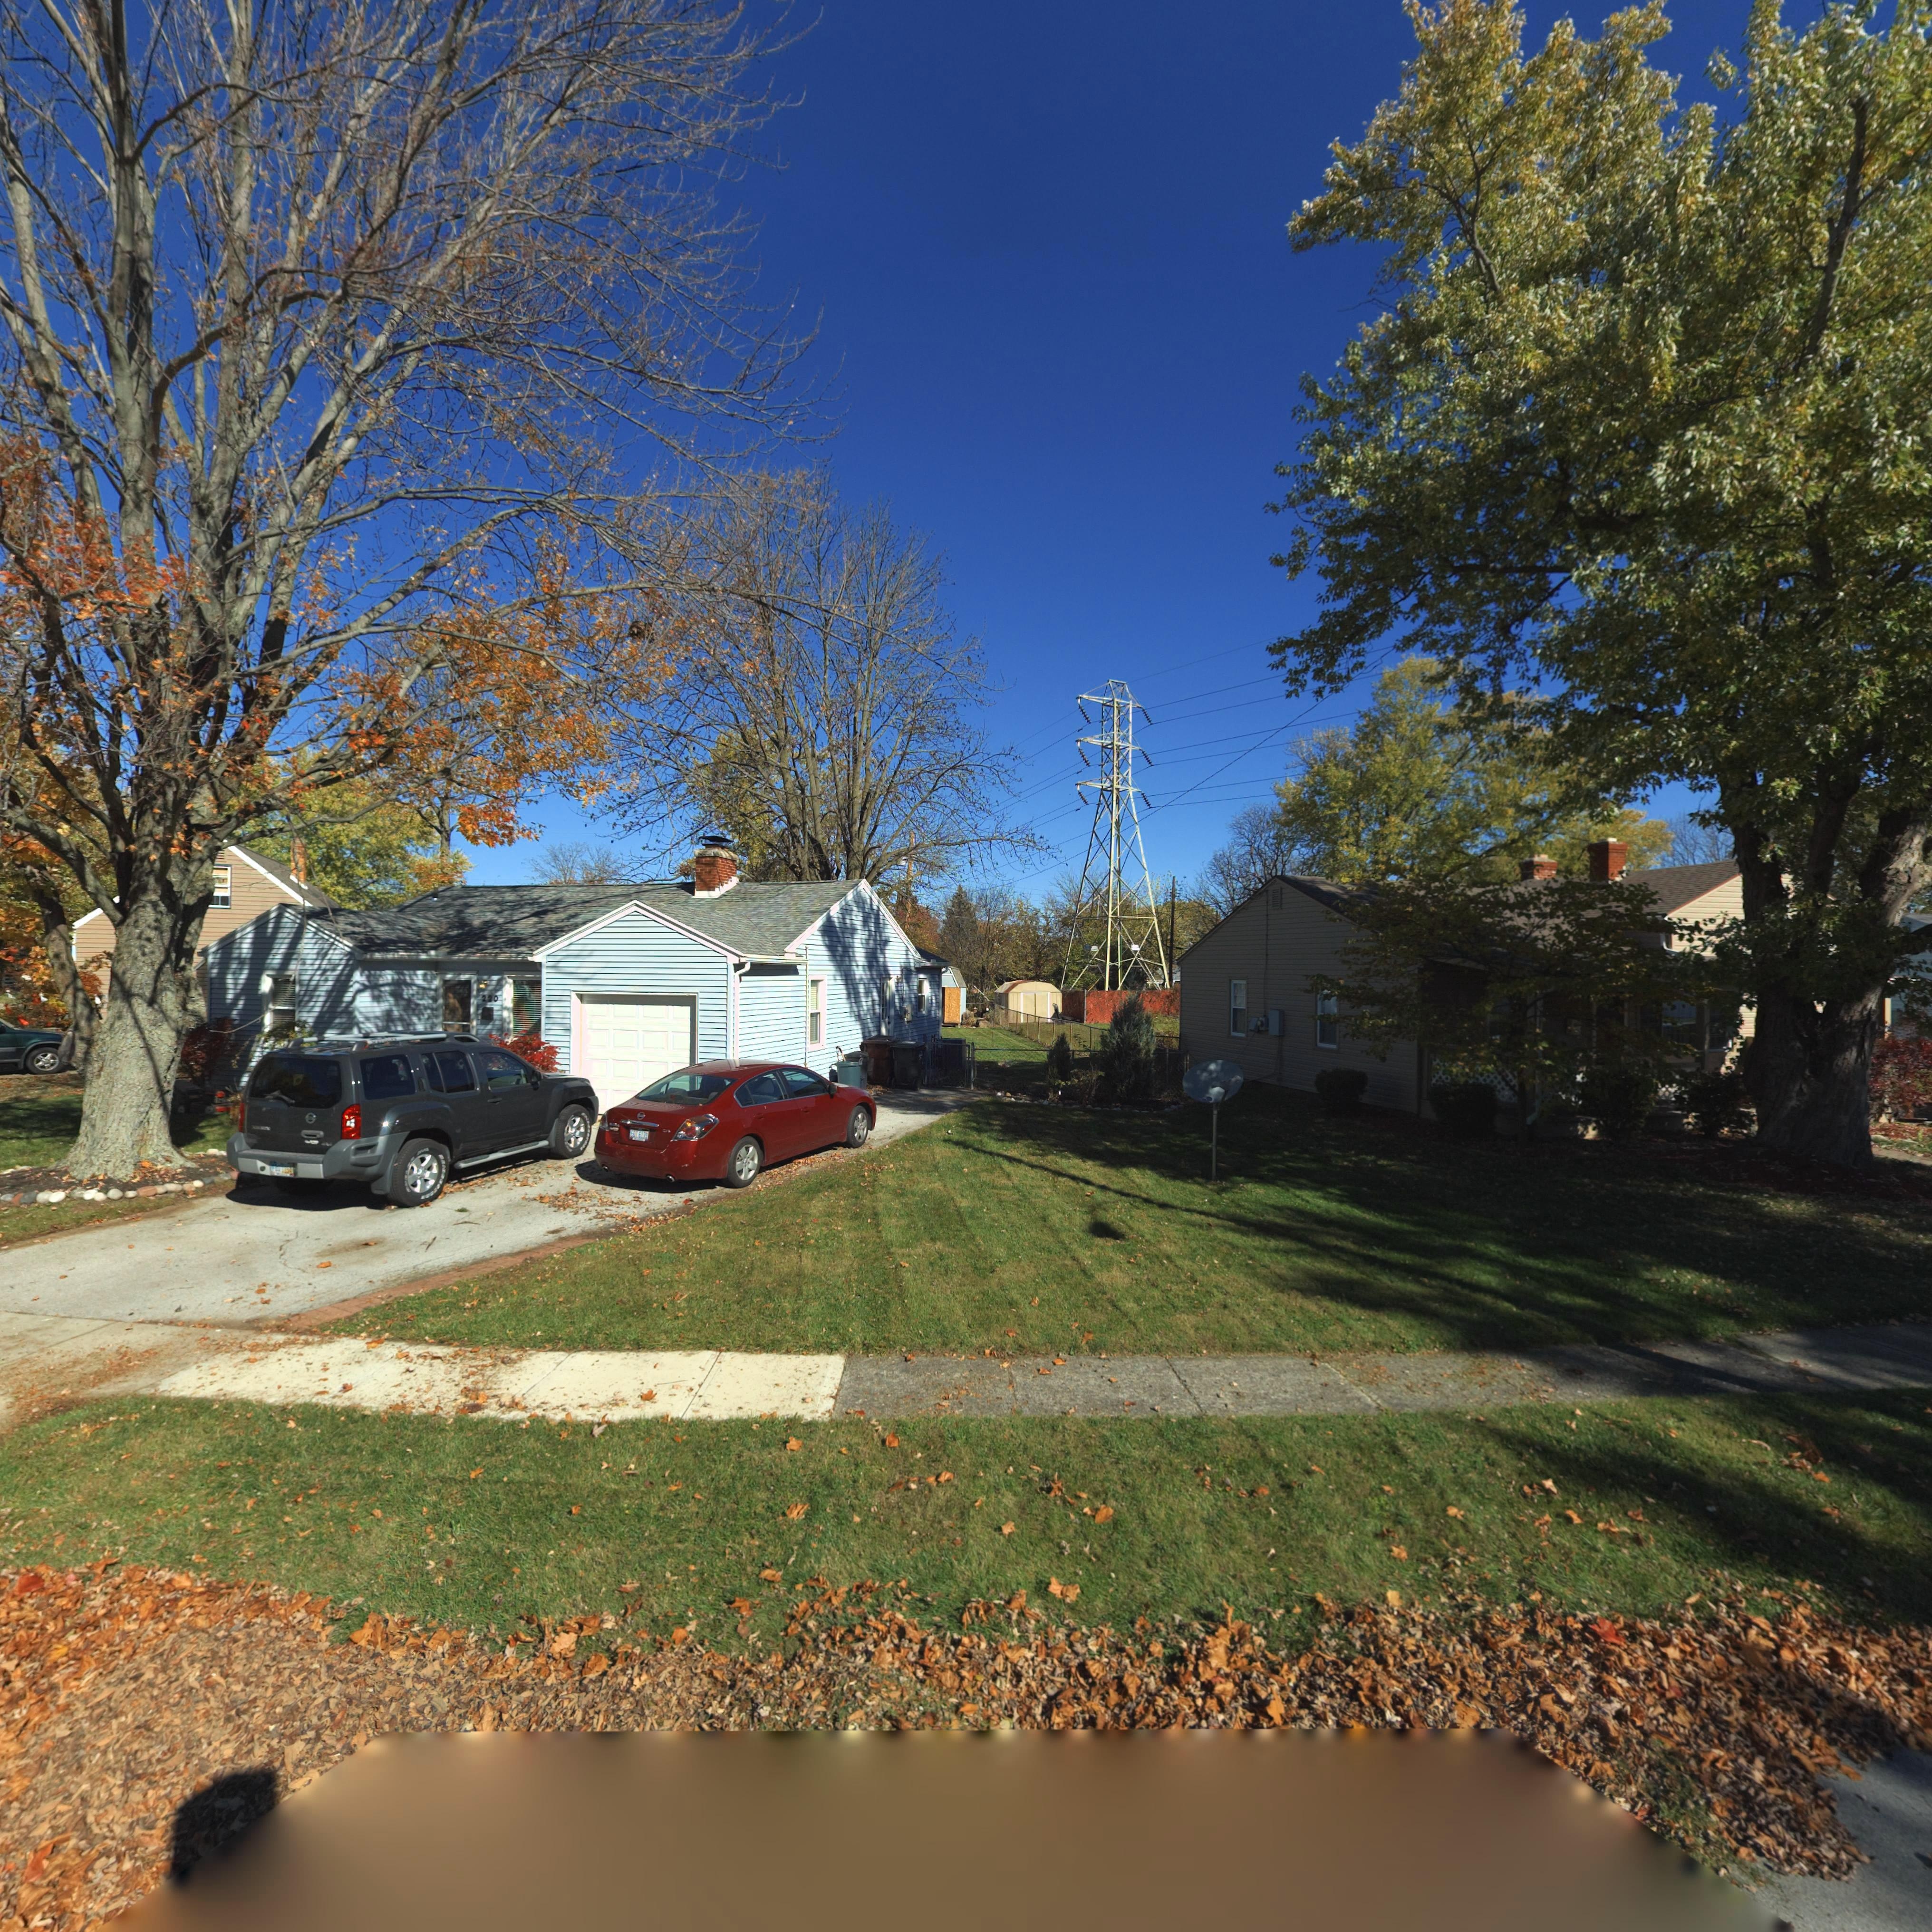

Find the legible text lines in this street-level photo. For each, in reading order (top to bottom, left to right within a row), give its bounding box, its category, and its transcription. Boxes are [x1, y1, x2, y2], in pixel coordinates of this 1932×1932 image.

[481, 994, 500, 1003] StreetNumber: 220